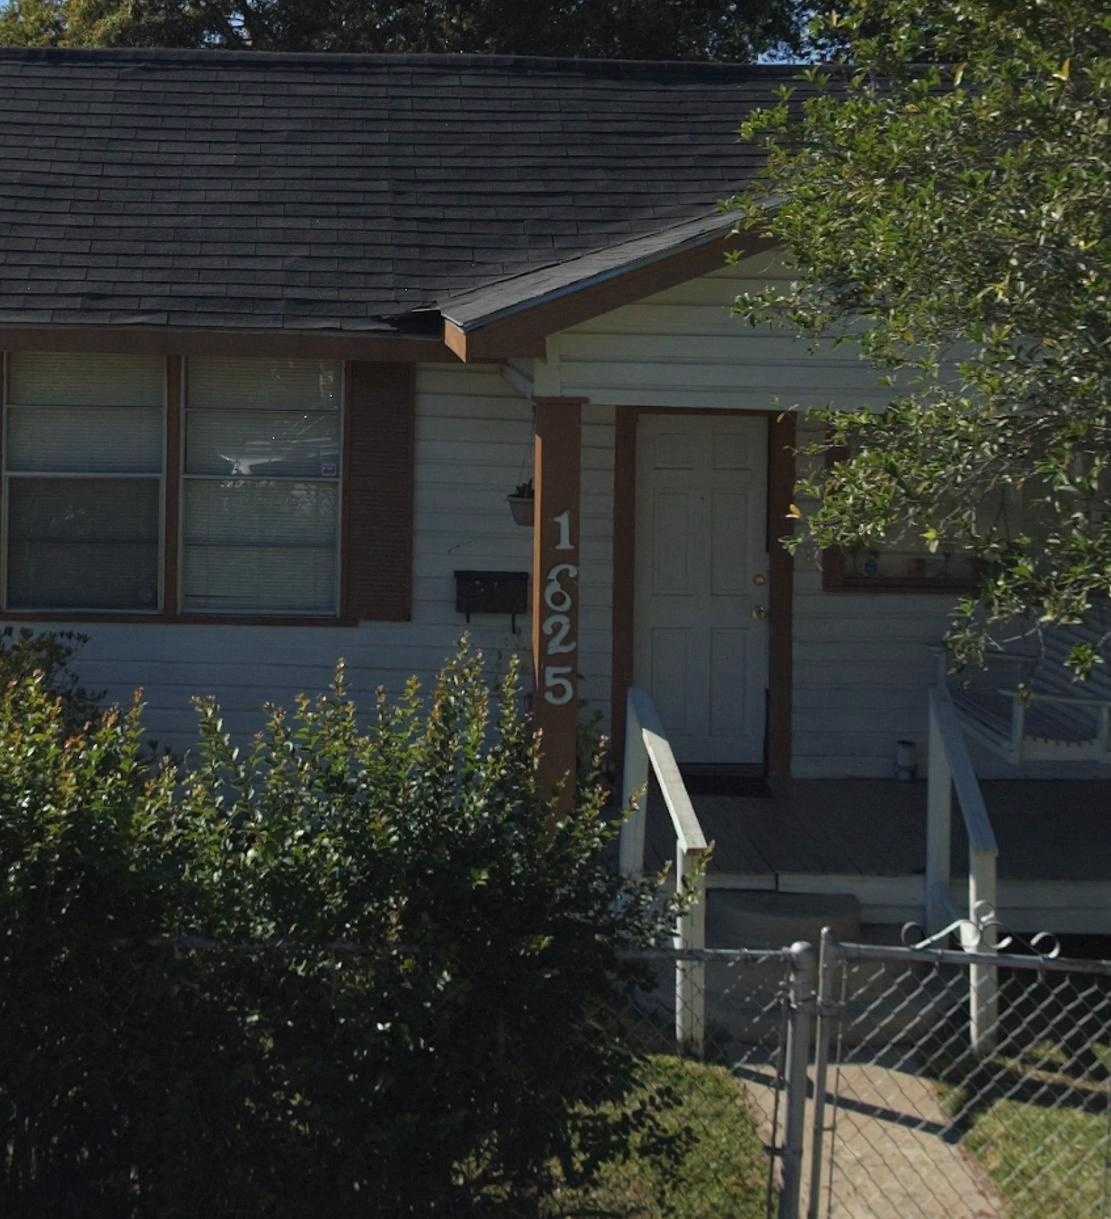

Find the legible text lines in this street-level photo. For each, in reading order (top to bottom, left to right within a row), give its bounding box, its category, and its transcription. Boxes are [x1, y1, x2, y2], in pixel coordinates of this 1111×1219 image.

[540, 507, 579, 707] StreetNumber: 1*25